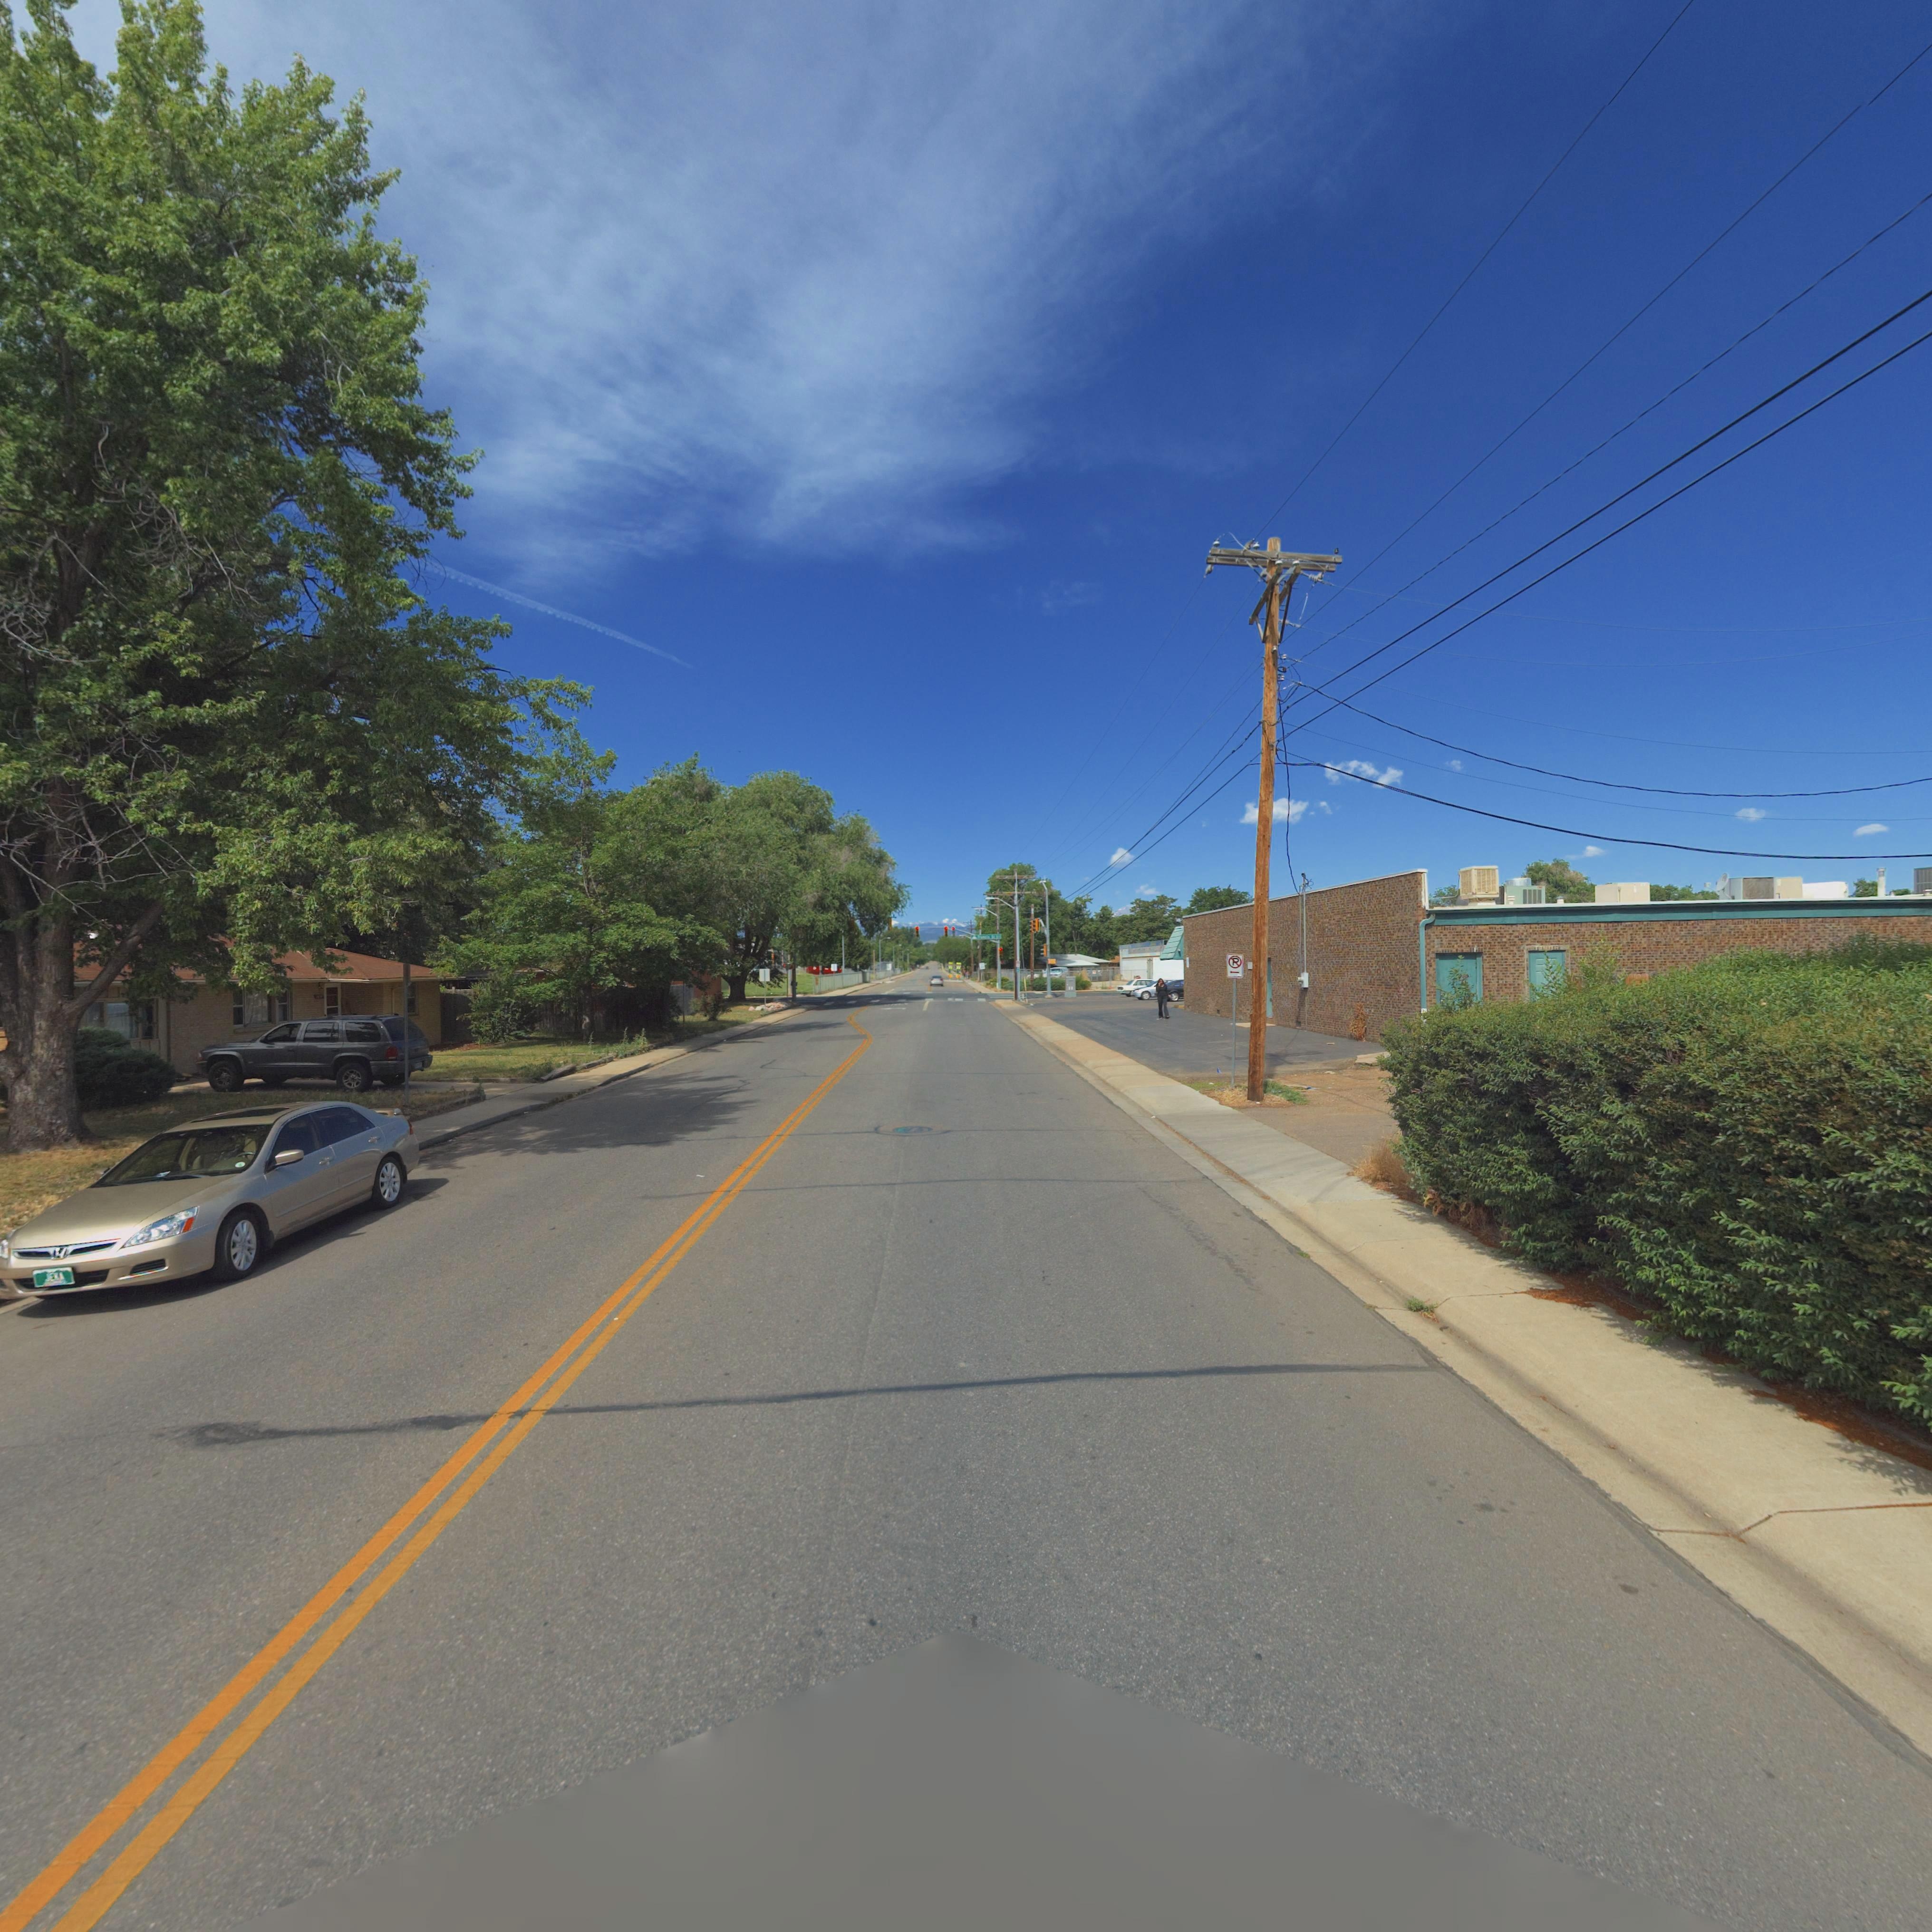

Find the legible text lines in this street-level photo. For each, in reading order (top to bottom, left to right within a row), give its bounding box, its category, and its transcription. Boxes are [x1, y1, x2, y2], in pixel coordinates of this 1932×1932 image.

[977, 934, 995, 938] StreetName: Fr***** St